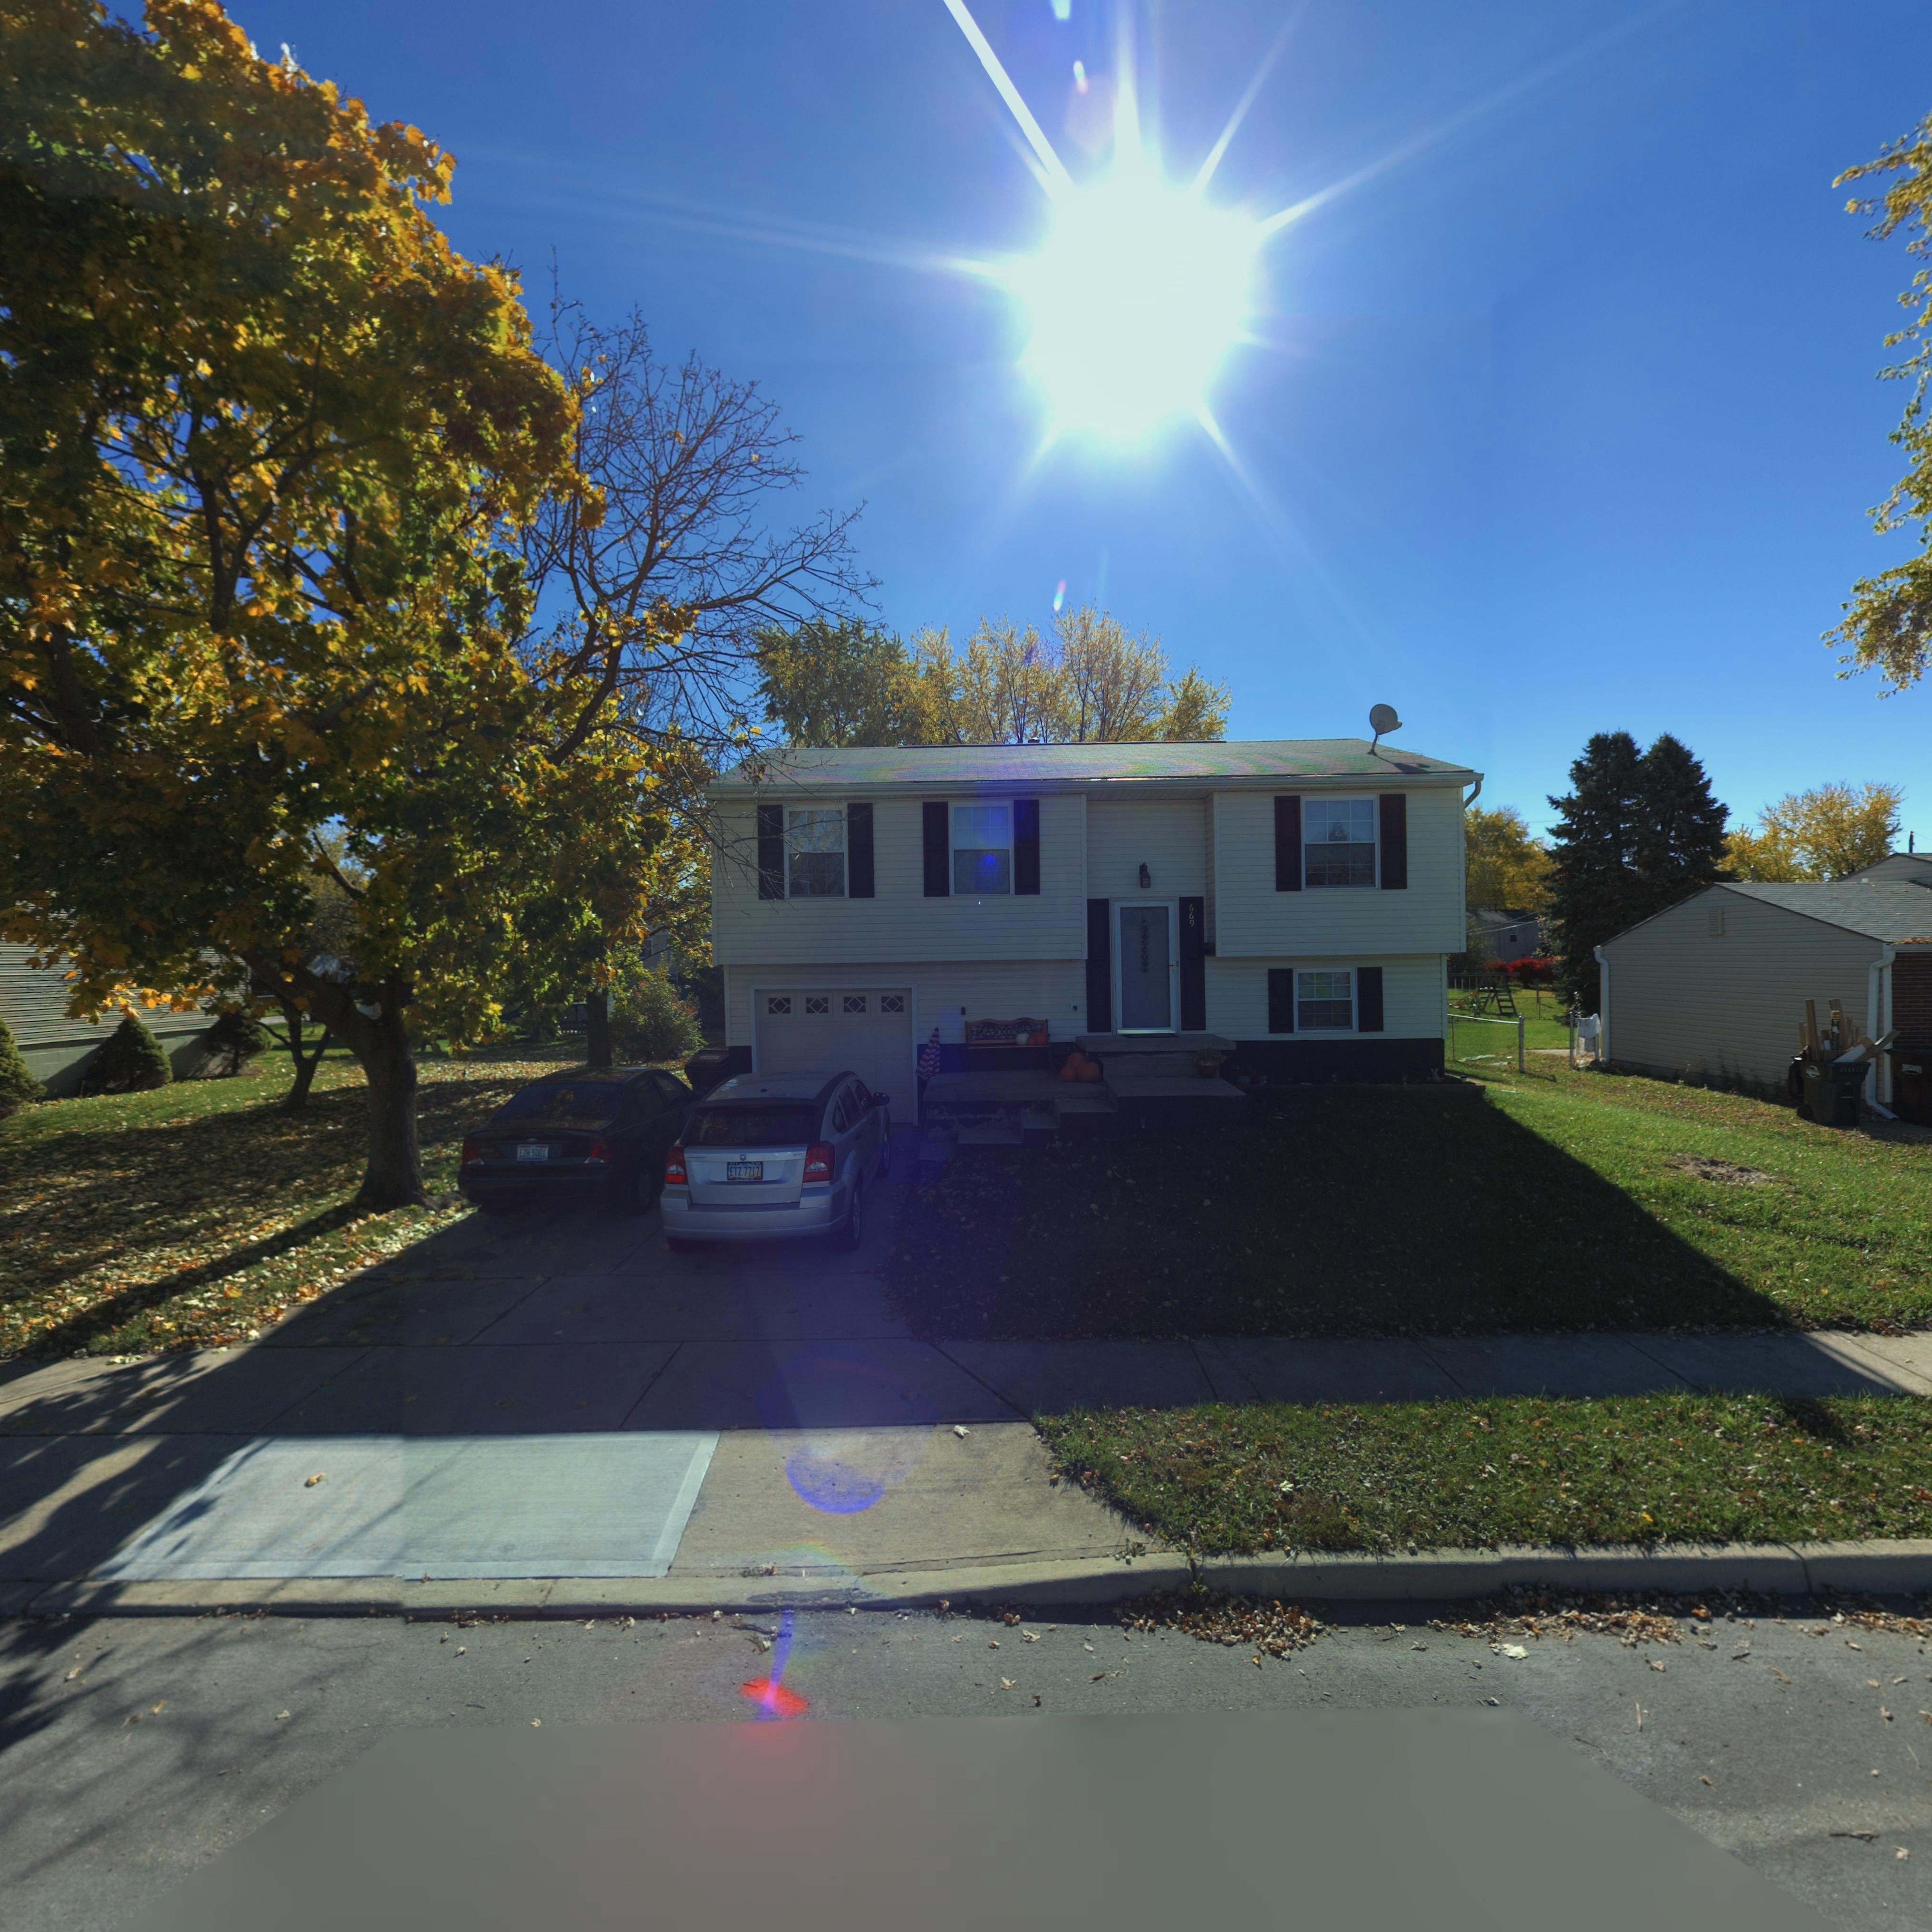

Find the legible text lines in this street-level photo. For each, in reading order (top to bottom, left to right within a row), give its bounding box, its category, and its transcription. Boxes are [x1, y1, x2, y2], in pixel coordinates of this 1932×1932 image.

[1189, 903, 1195, 928] StreetNumber: 669
[518, 1147, 547, 1158] None: EZ* 5001
[728, 1164, 760, 1178] None: ETZ 7717